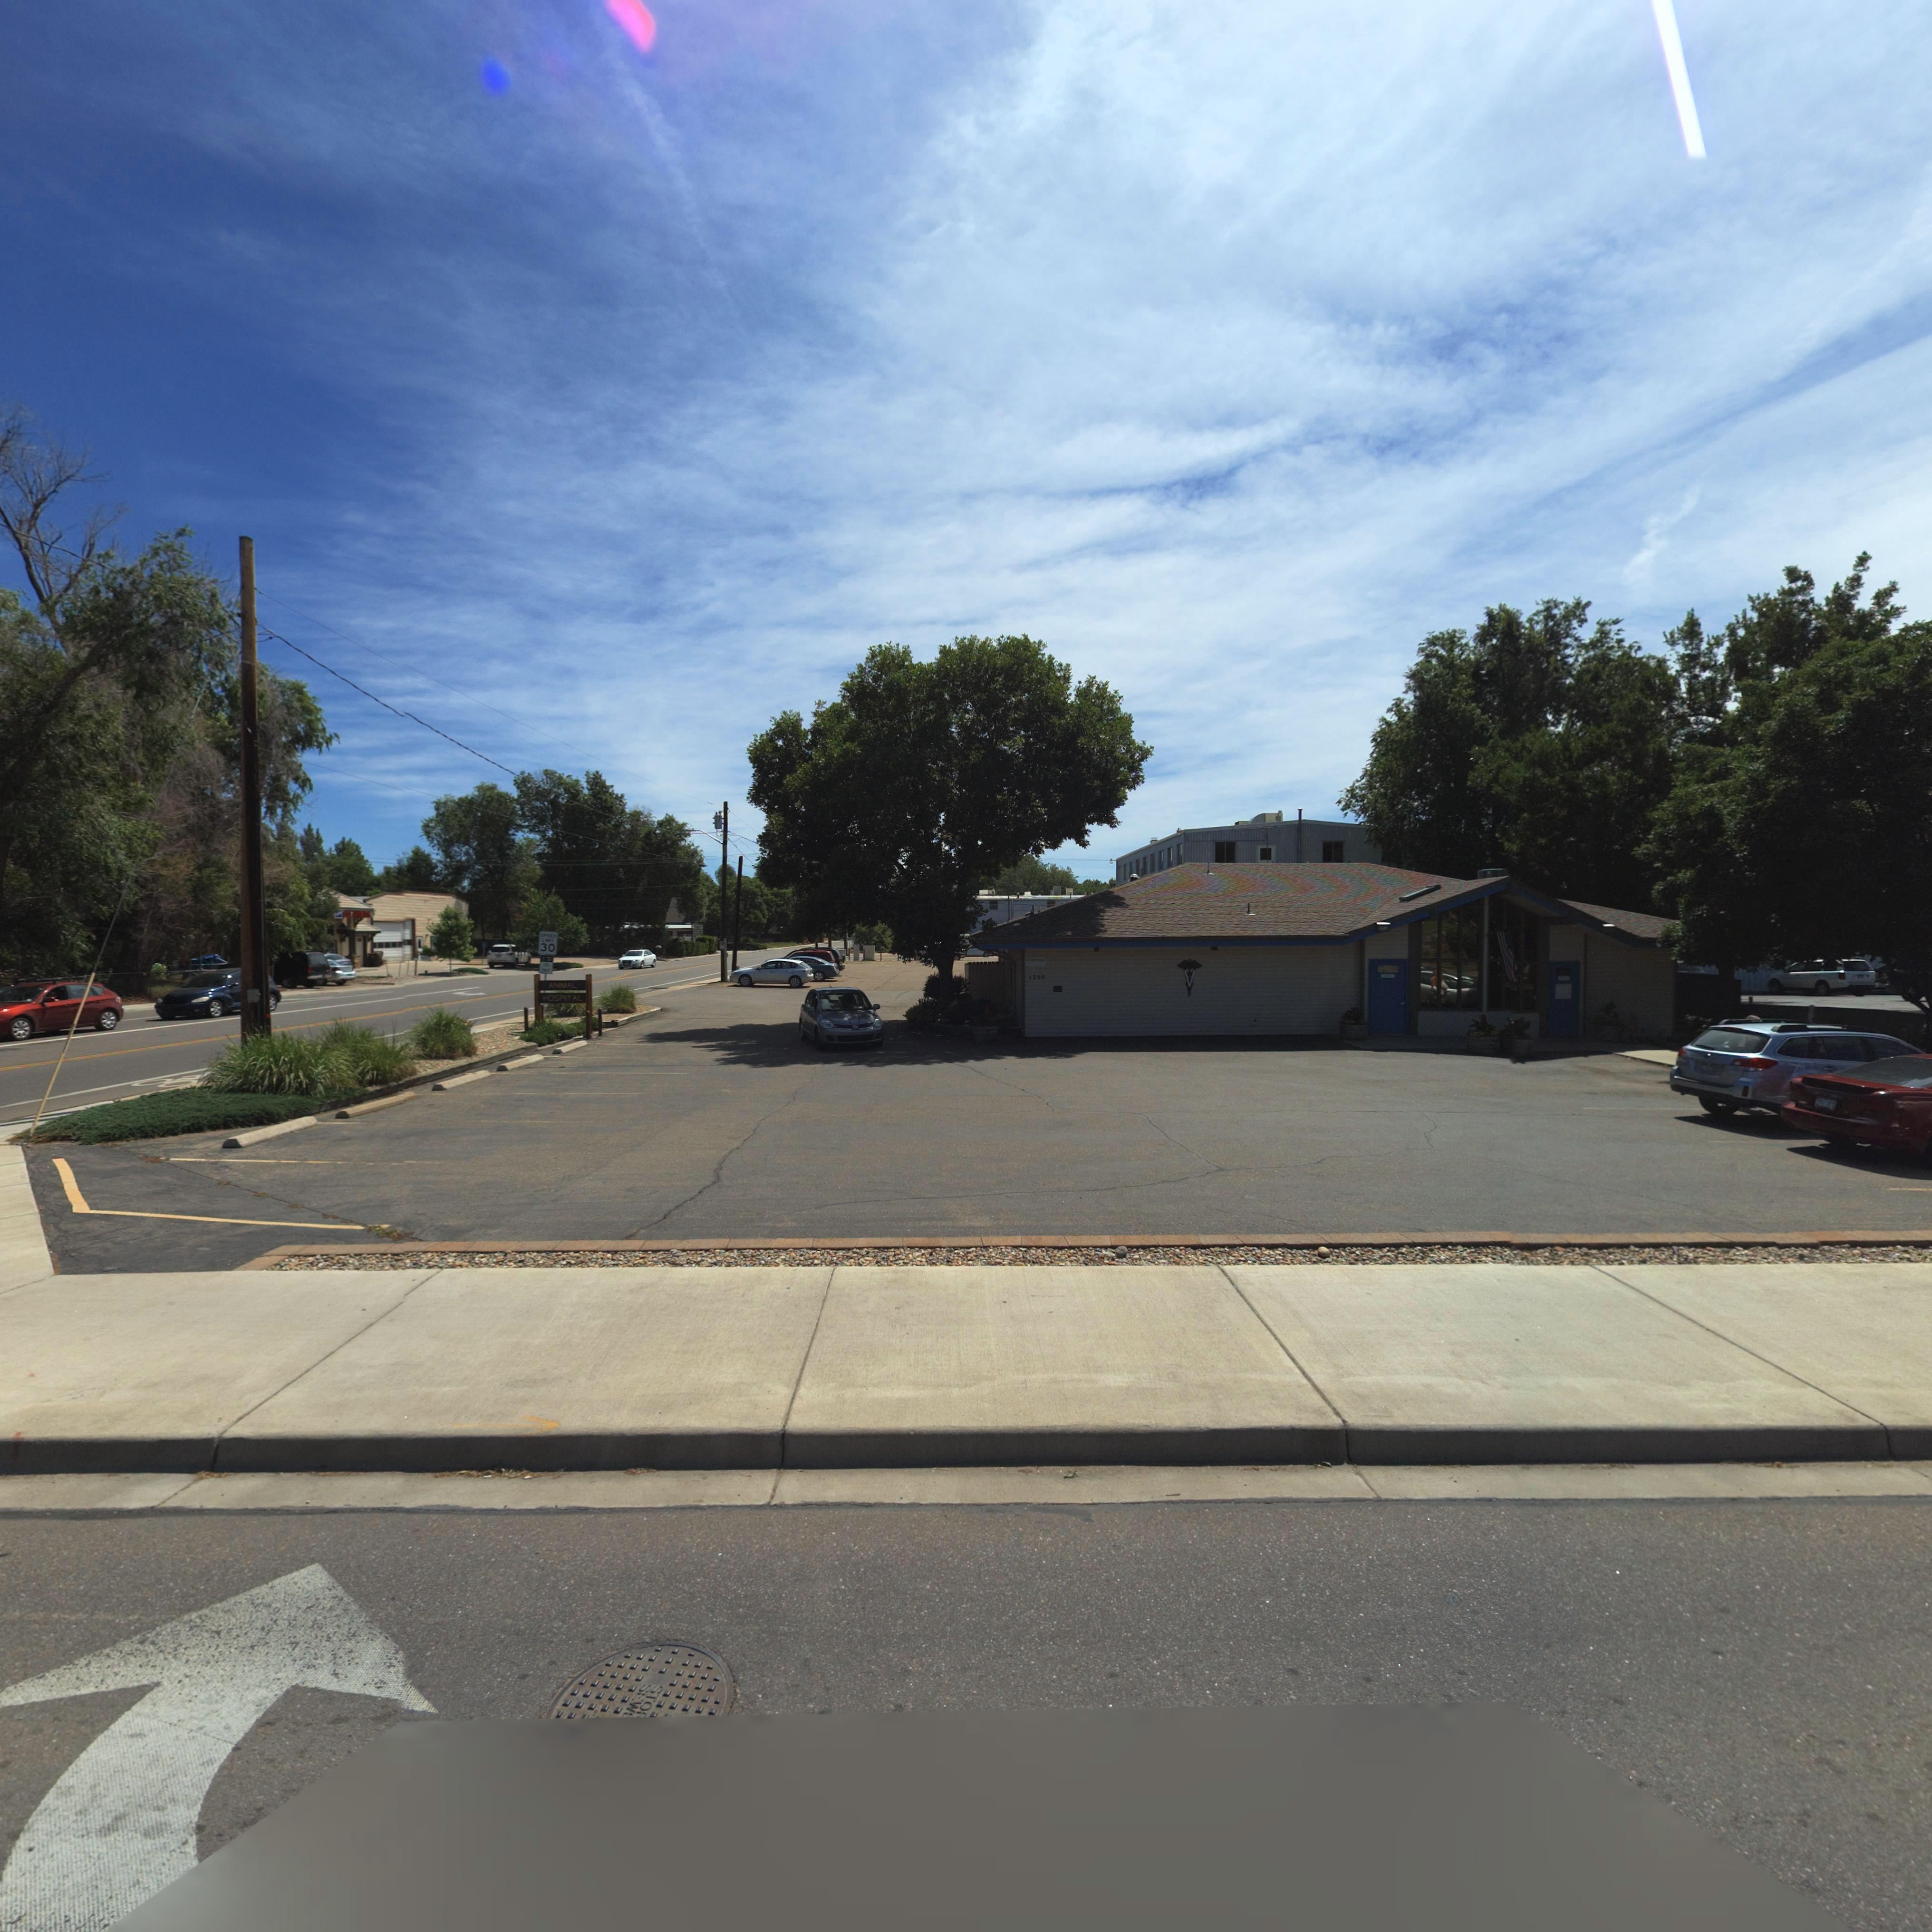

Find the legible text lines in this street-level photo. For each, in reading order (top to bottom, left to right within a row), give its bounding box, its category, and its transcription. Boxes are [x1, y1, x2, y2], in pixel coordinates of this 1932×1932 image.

[1029, 974, 1045, 980] StreetNumber: 1250
[548, 982, 577, 988] BusinessName: ANIMAL
[543, 995, 582, 1001] BusinessName: HOSPITAL